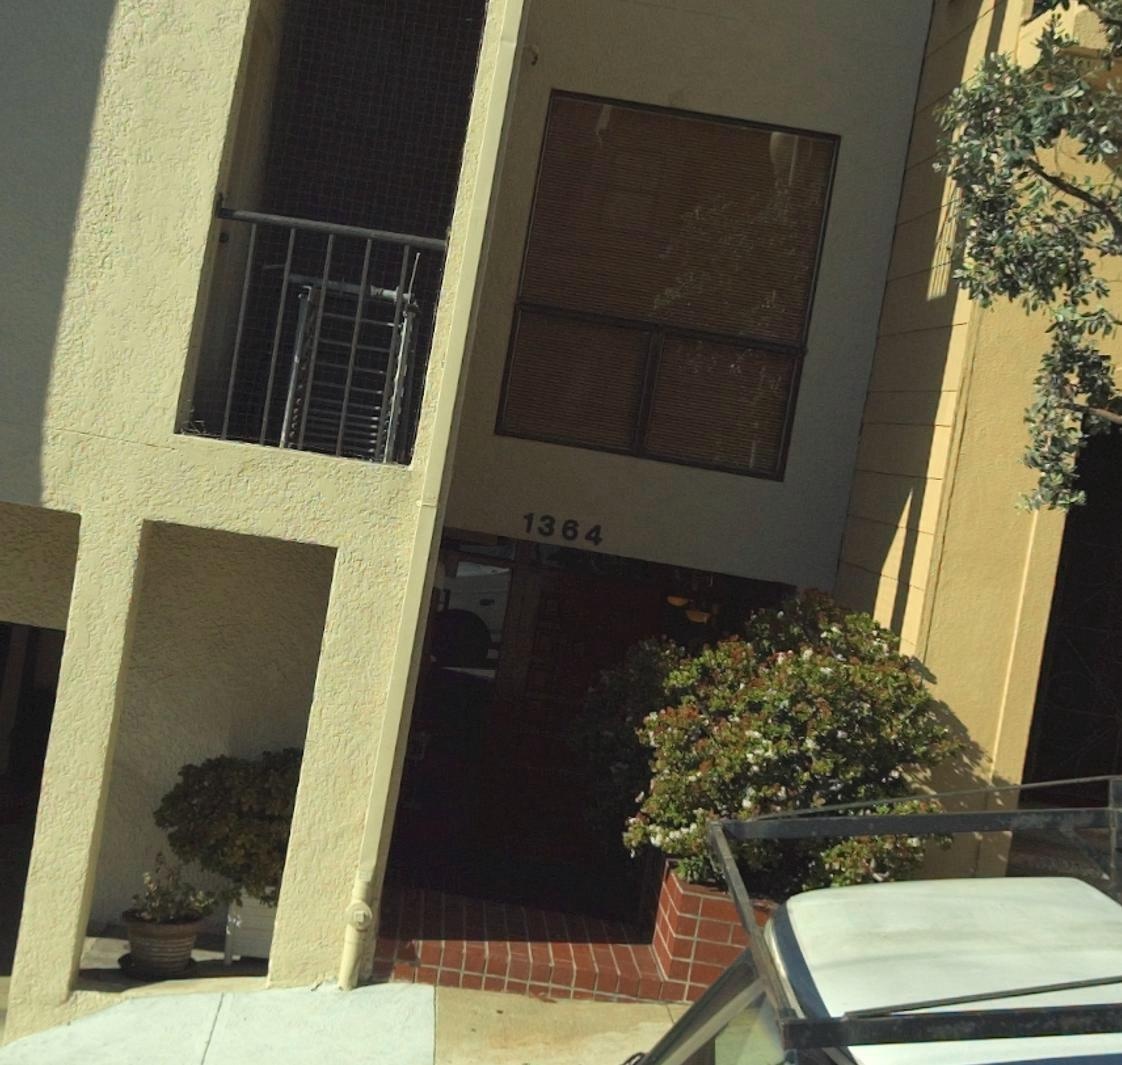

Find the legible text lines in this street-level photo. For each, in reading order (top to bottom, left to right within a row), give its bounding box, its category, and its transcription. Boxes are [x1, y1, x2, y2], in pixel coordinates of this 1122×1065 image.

[521, 508, 605, 549] StreetNumber: 1364